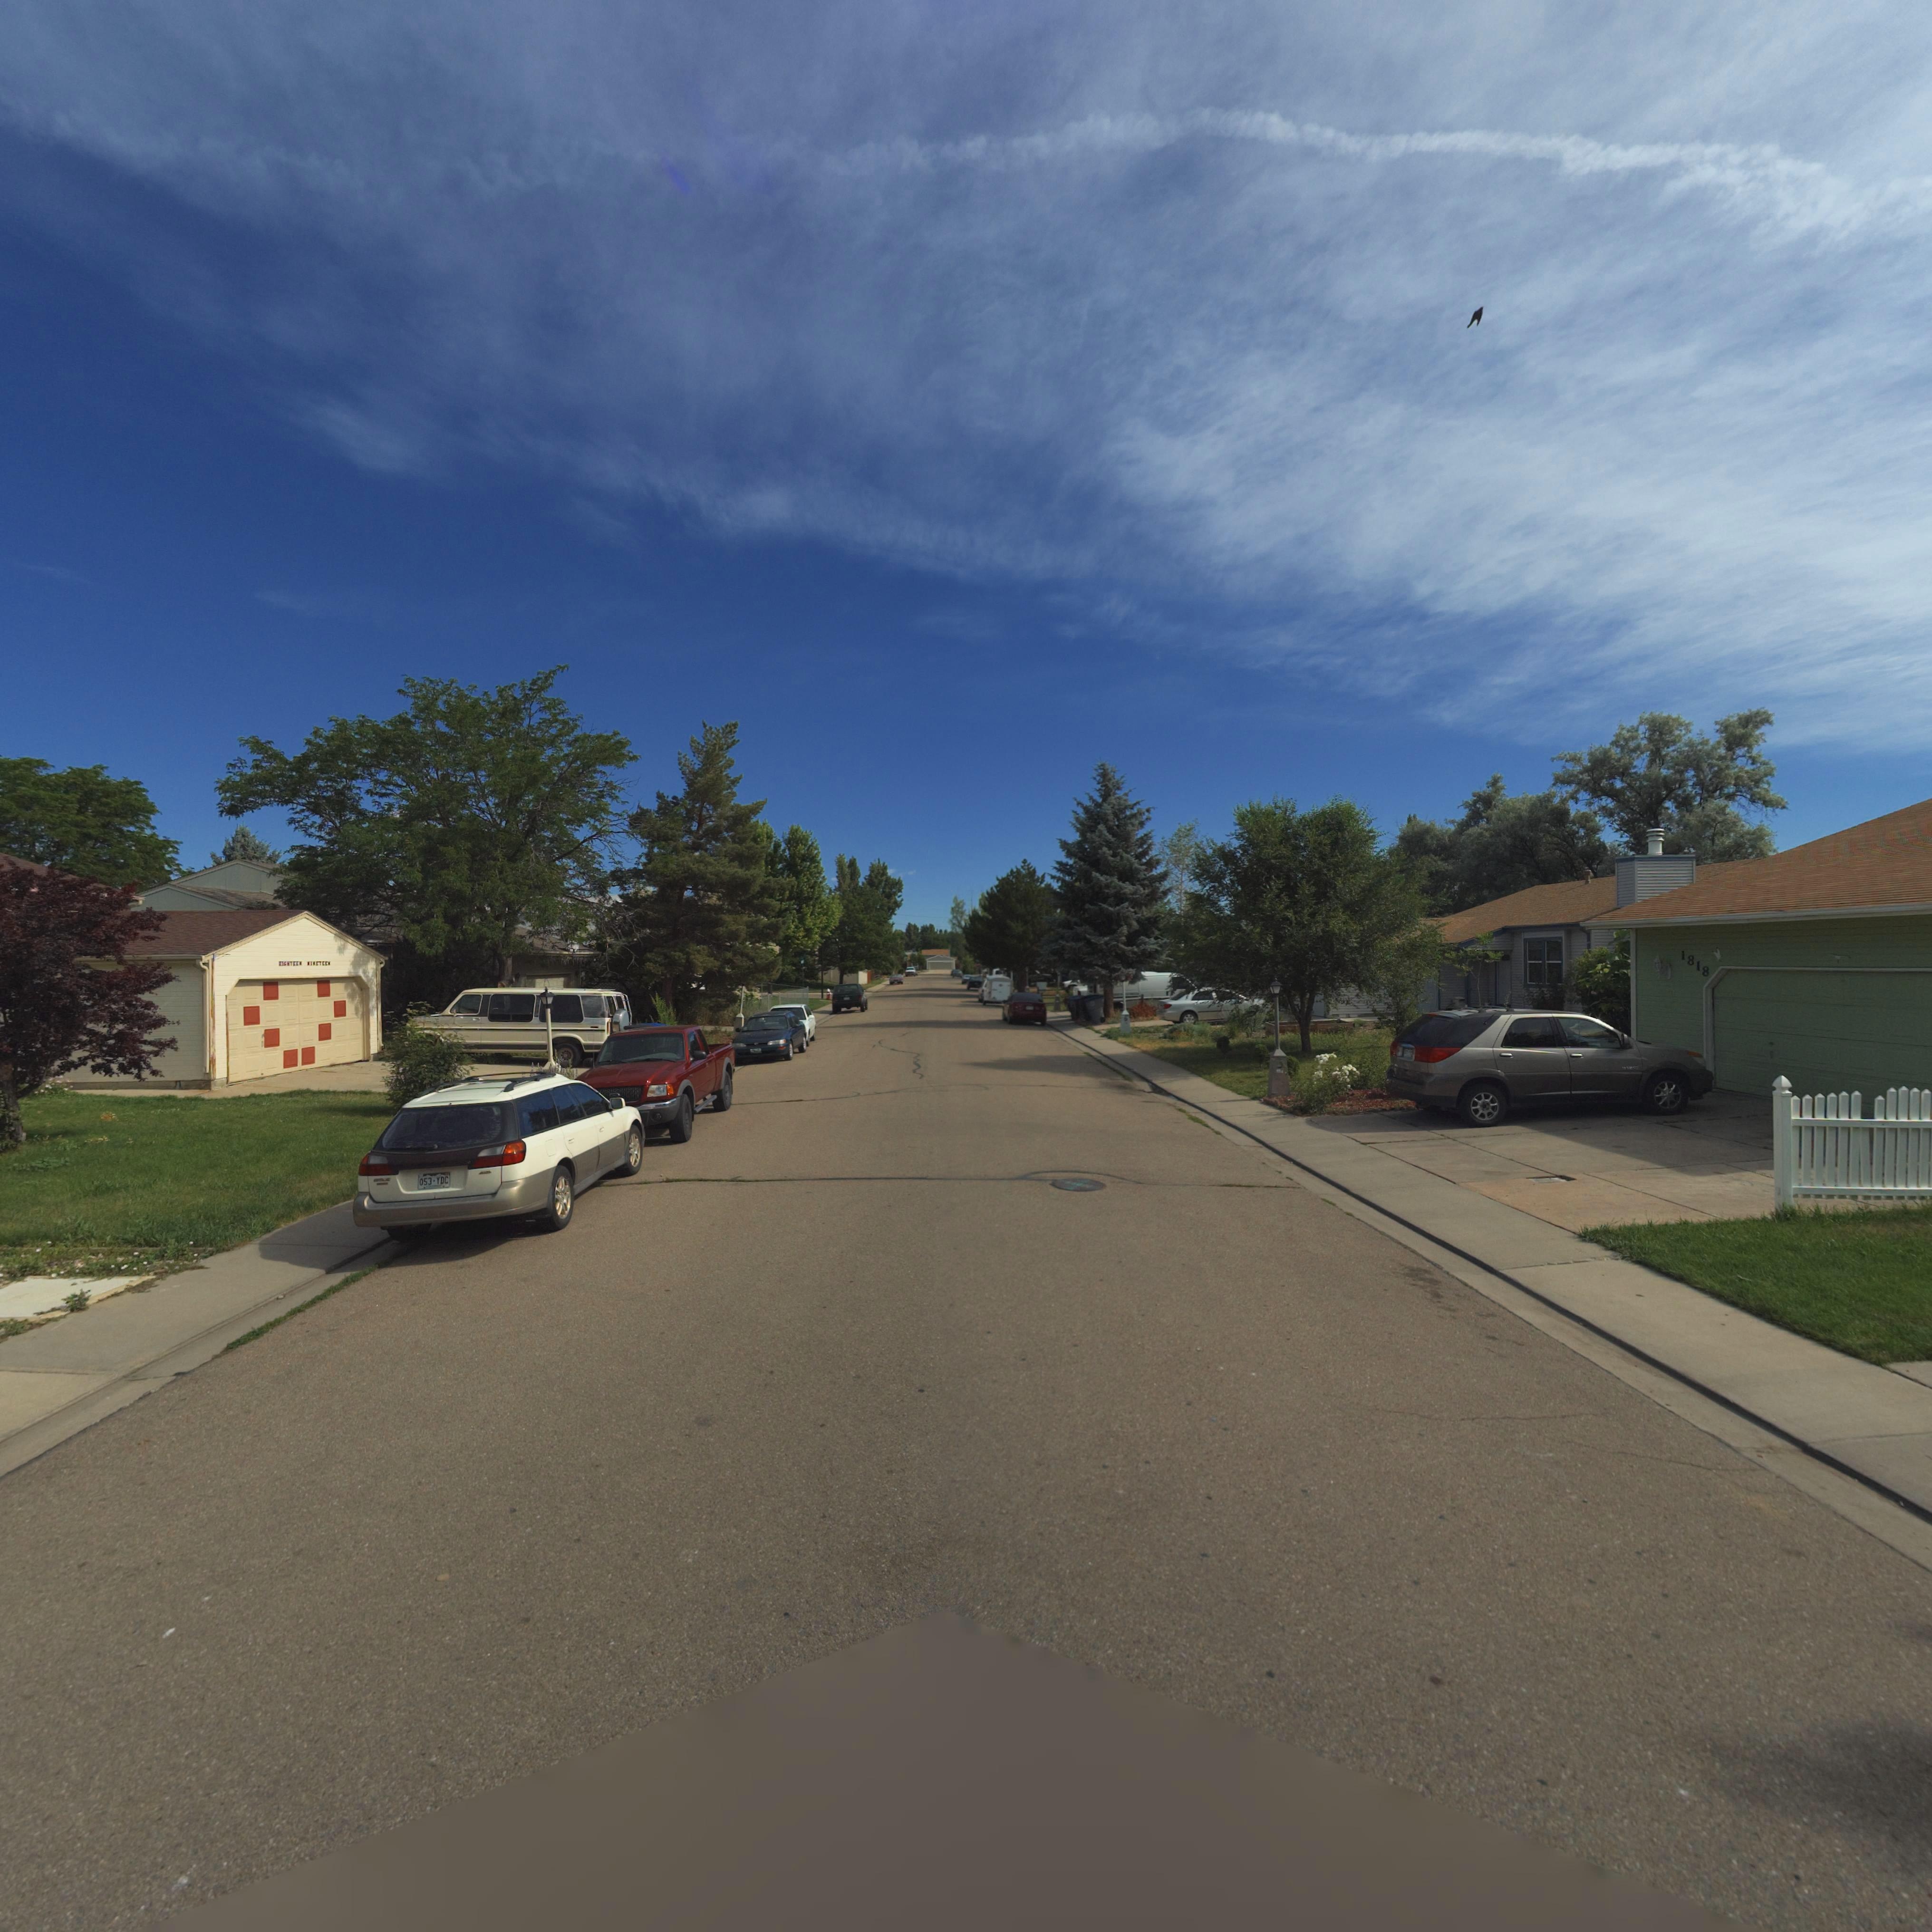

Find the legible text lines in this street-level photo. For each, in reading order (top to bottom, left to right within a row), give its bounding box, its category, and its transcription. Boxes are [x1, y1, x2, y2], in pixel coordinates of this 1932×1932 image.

[278, 960, 330, 966] StreetNumber: EIGHTEEN NINETEEN
[1681, 950, 1710, 977] StreetNumber: 1818